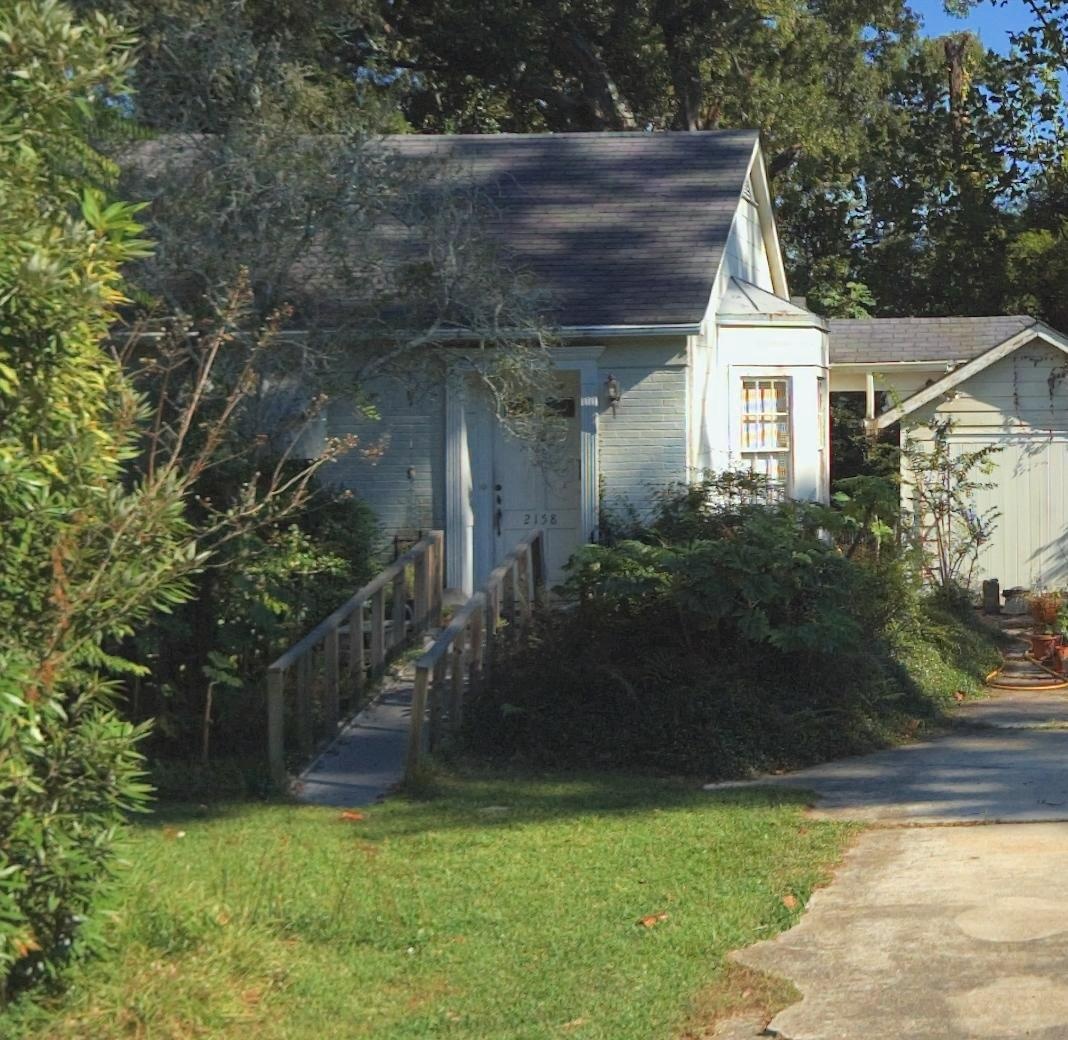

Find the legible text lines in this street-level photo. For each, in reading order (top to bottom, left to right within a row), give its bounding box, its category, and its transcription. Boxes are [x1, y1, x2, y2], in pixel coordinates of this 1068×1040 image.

[521, 511, 559, 528] StreetNumber: 2138